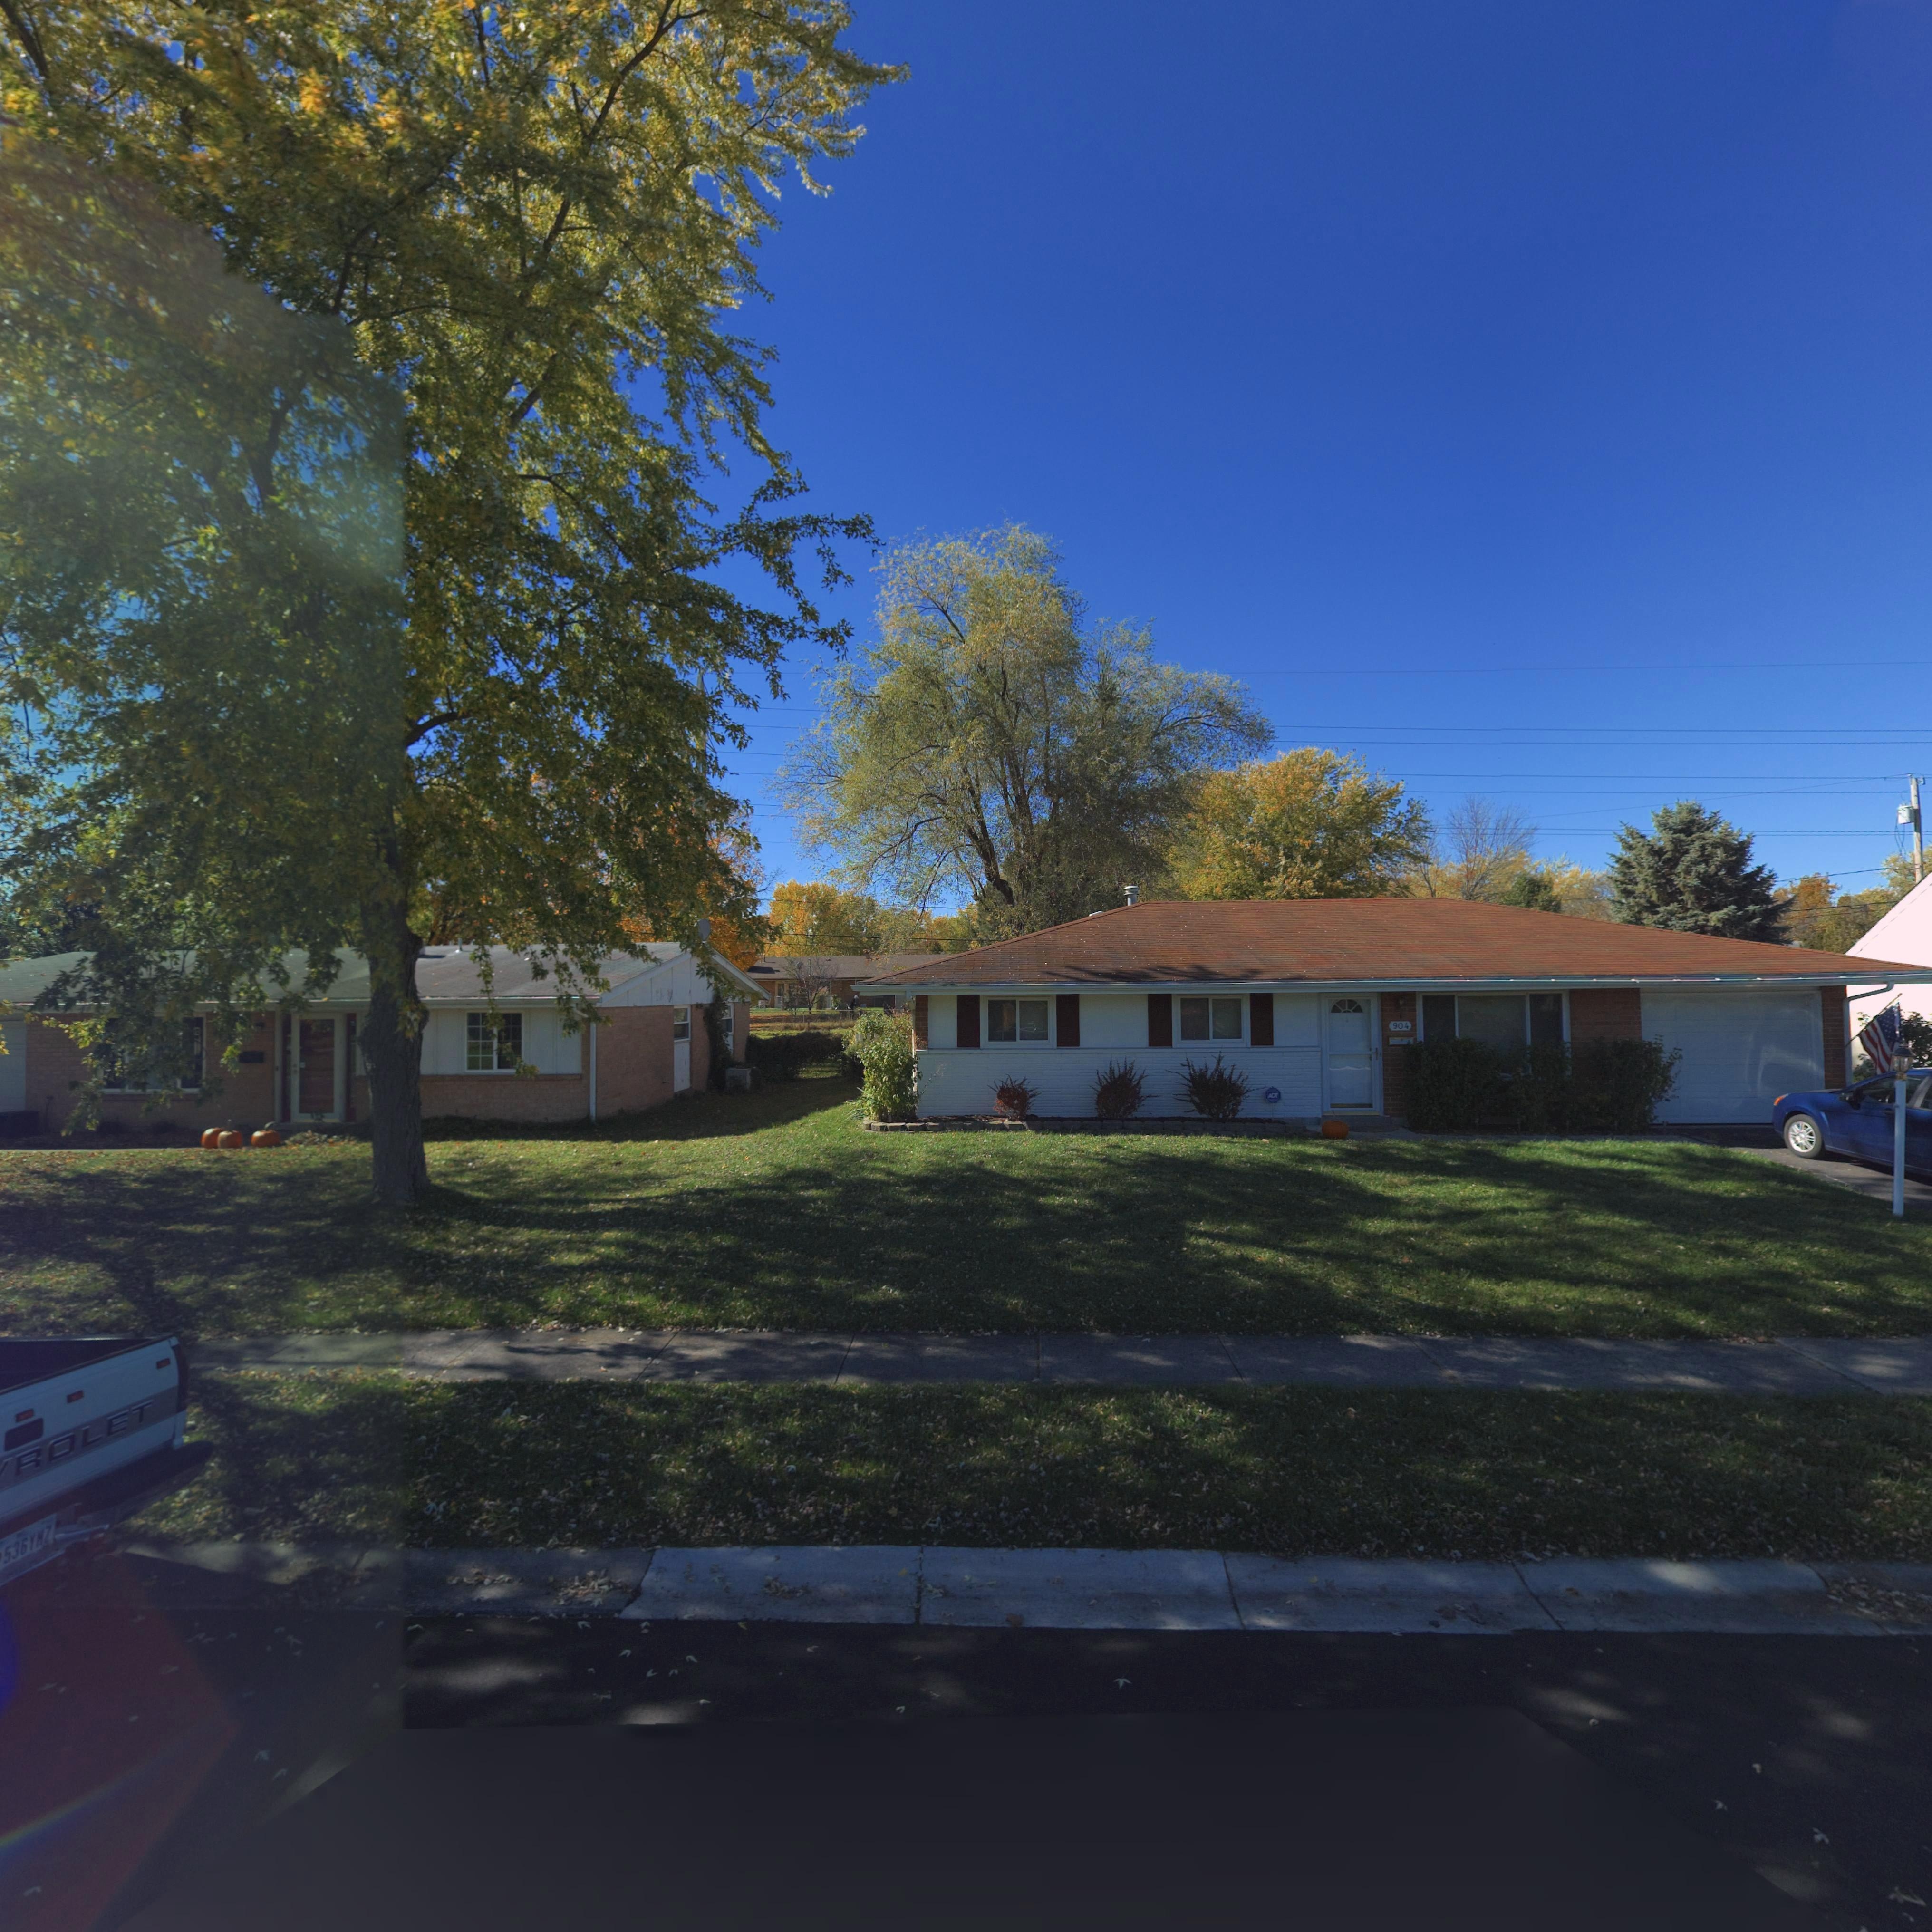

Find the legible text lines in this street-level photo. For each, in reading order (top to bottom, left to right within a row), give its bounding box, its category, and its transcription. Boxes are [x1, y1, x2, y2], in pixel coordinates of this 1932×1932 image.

[1392, 1022, 1410, 1029] StreetNumber: 904